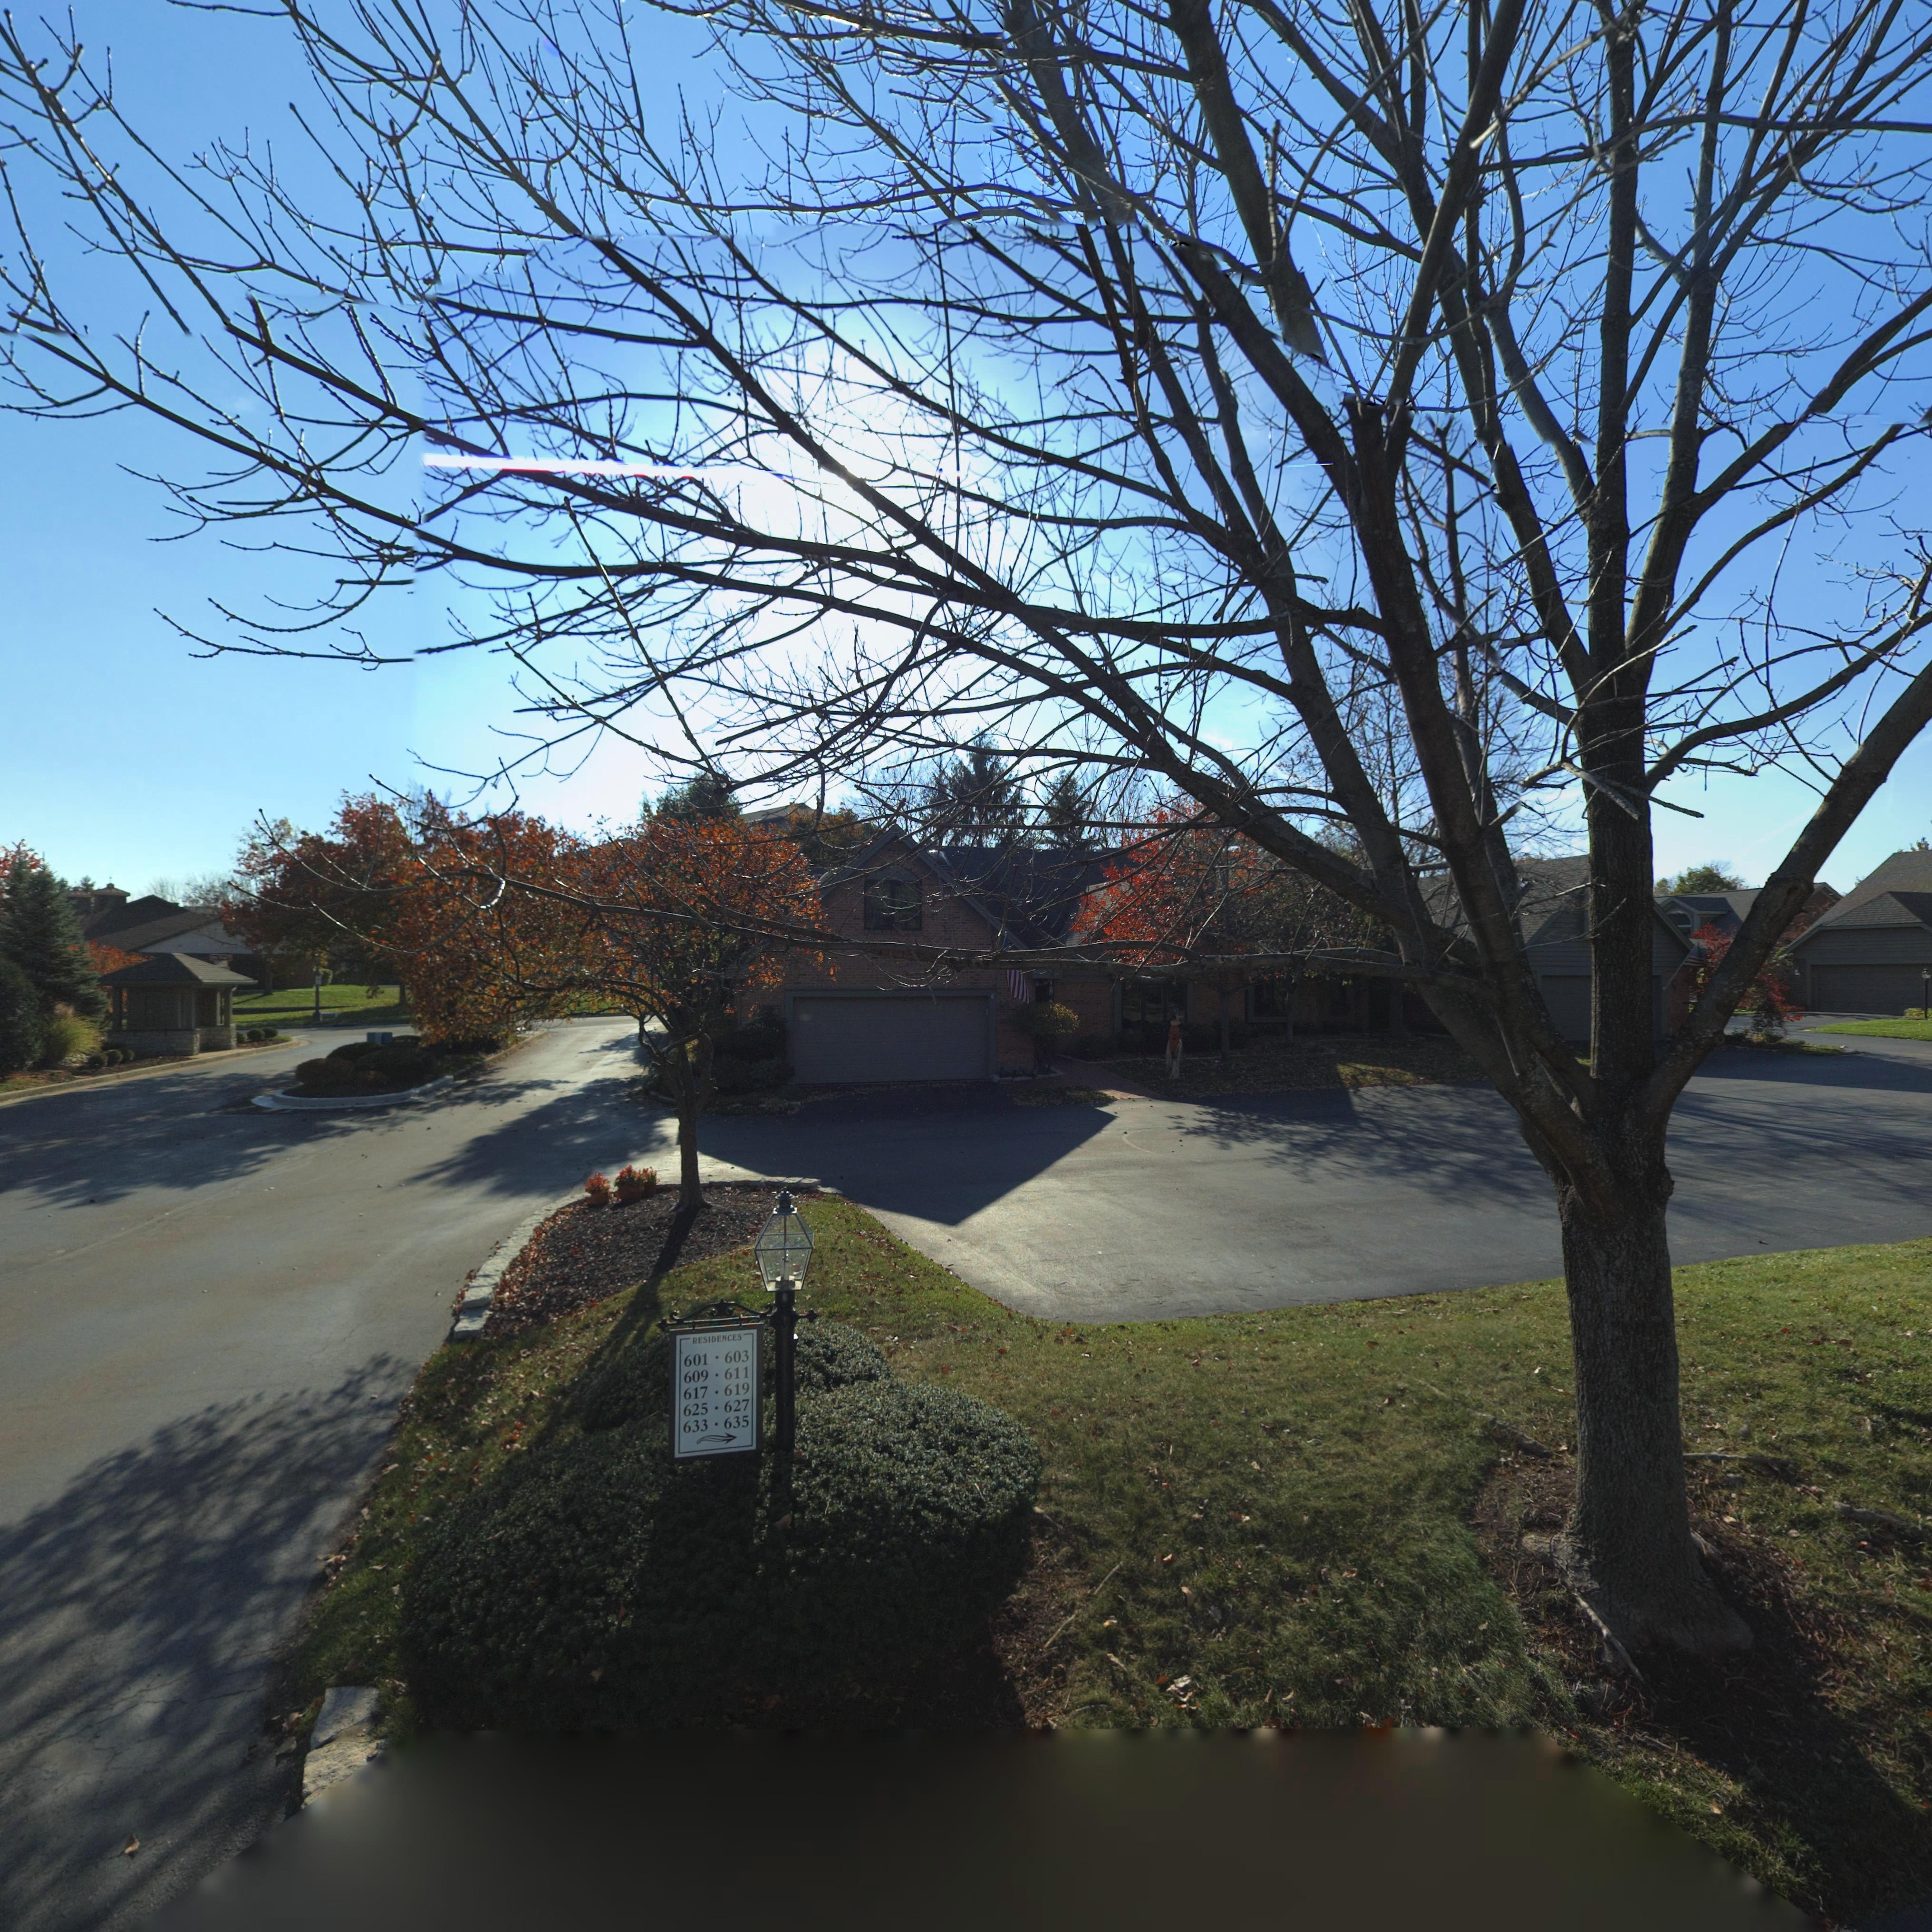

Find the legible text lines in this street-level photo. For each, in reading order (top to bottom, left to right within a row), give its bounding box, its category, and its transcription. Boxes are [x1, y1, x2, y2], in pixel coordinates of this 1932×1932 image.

[683, 1351, 709, 1368] StreetNumber: 601
[724, 1348, 751, 1365] StreetNumber: 603
[682, 1369, 710, 1385] StreetNumber: 609
[724, 1365, 751, 1381] StreetNumber: 611
[682, 1385, 709, 1401] StreetNumber: 617
[724, 1381, 751, 1397] StreetNumber: 619
[682, 1401, 710, 1419] StreetNumber: 625
[723, 1398, 751, 1414] StreetNumber: 627
[682, 1418, 710, 1435] StreetNumber: 633
[723, 1413, 750, 1431] StreetNumber: 635